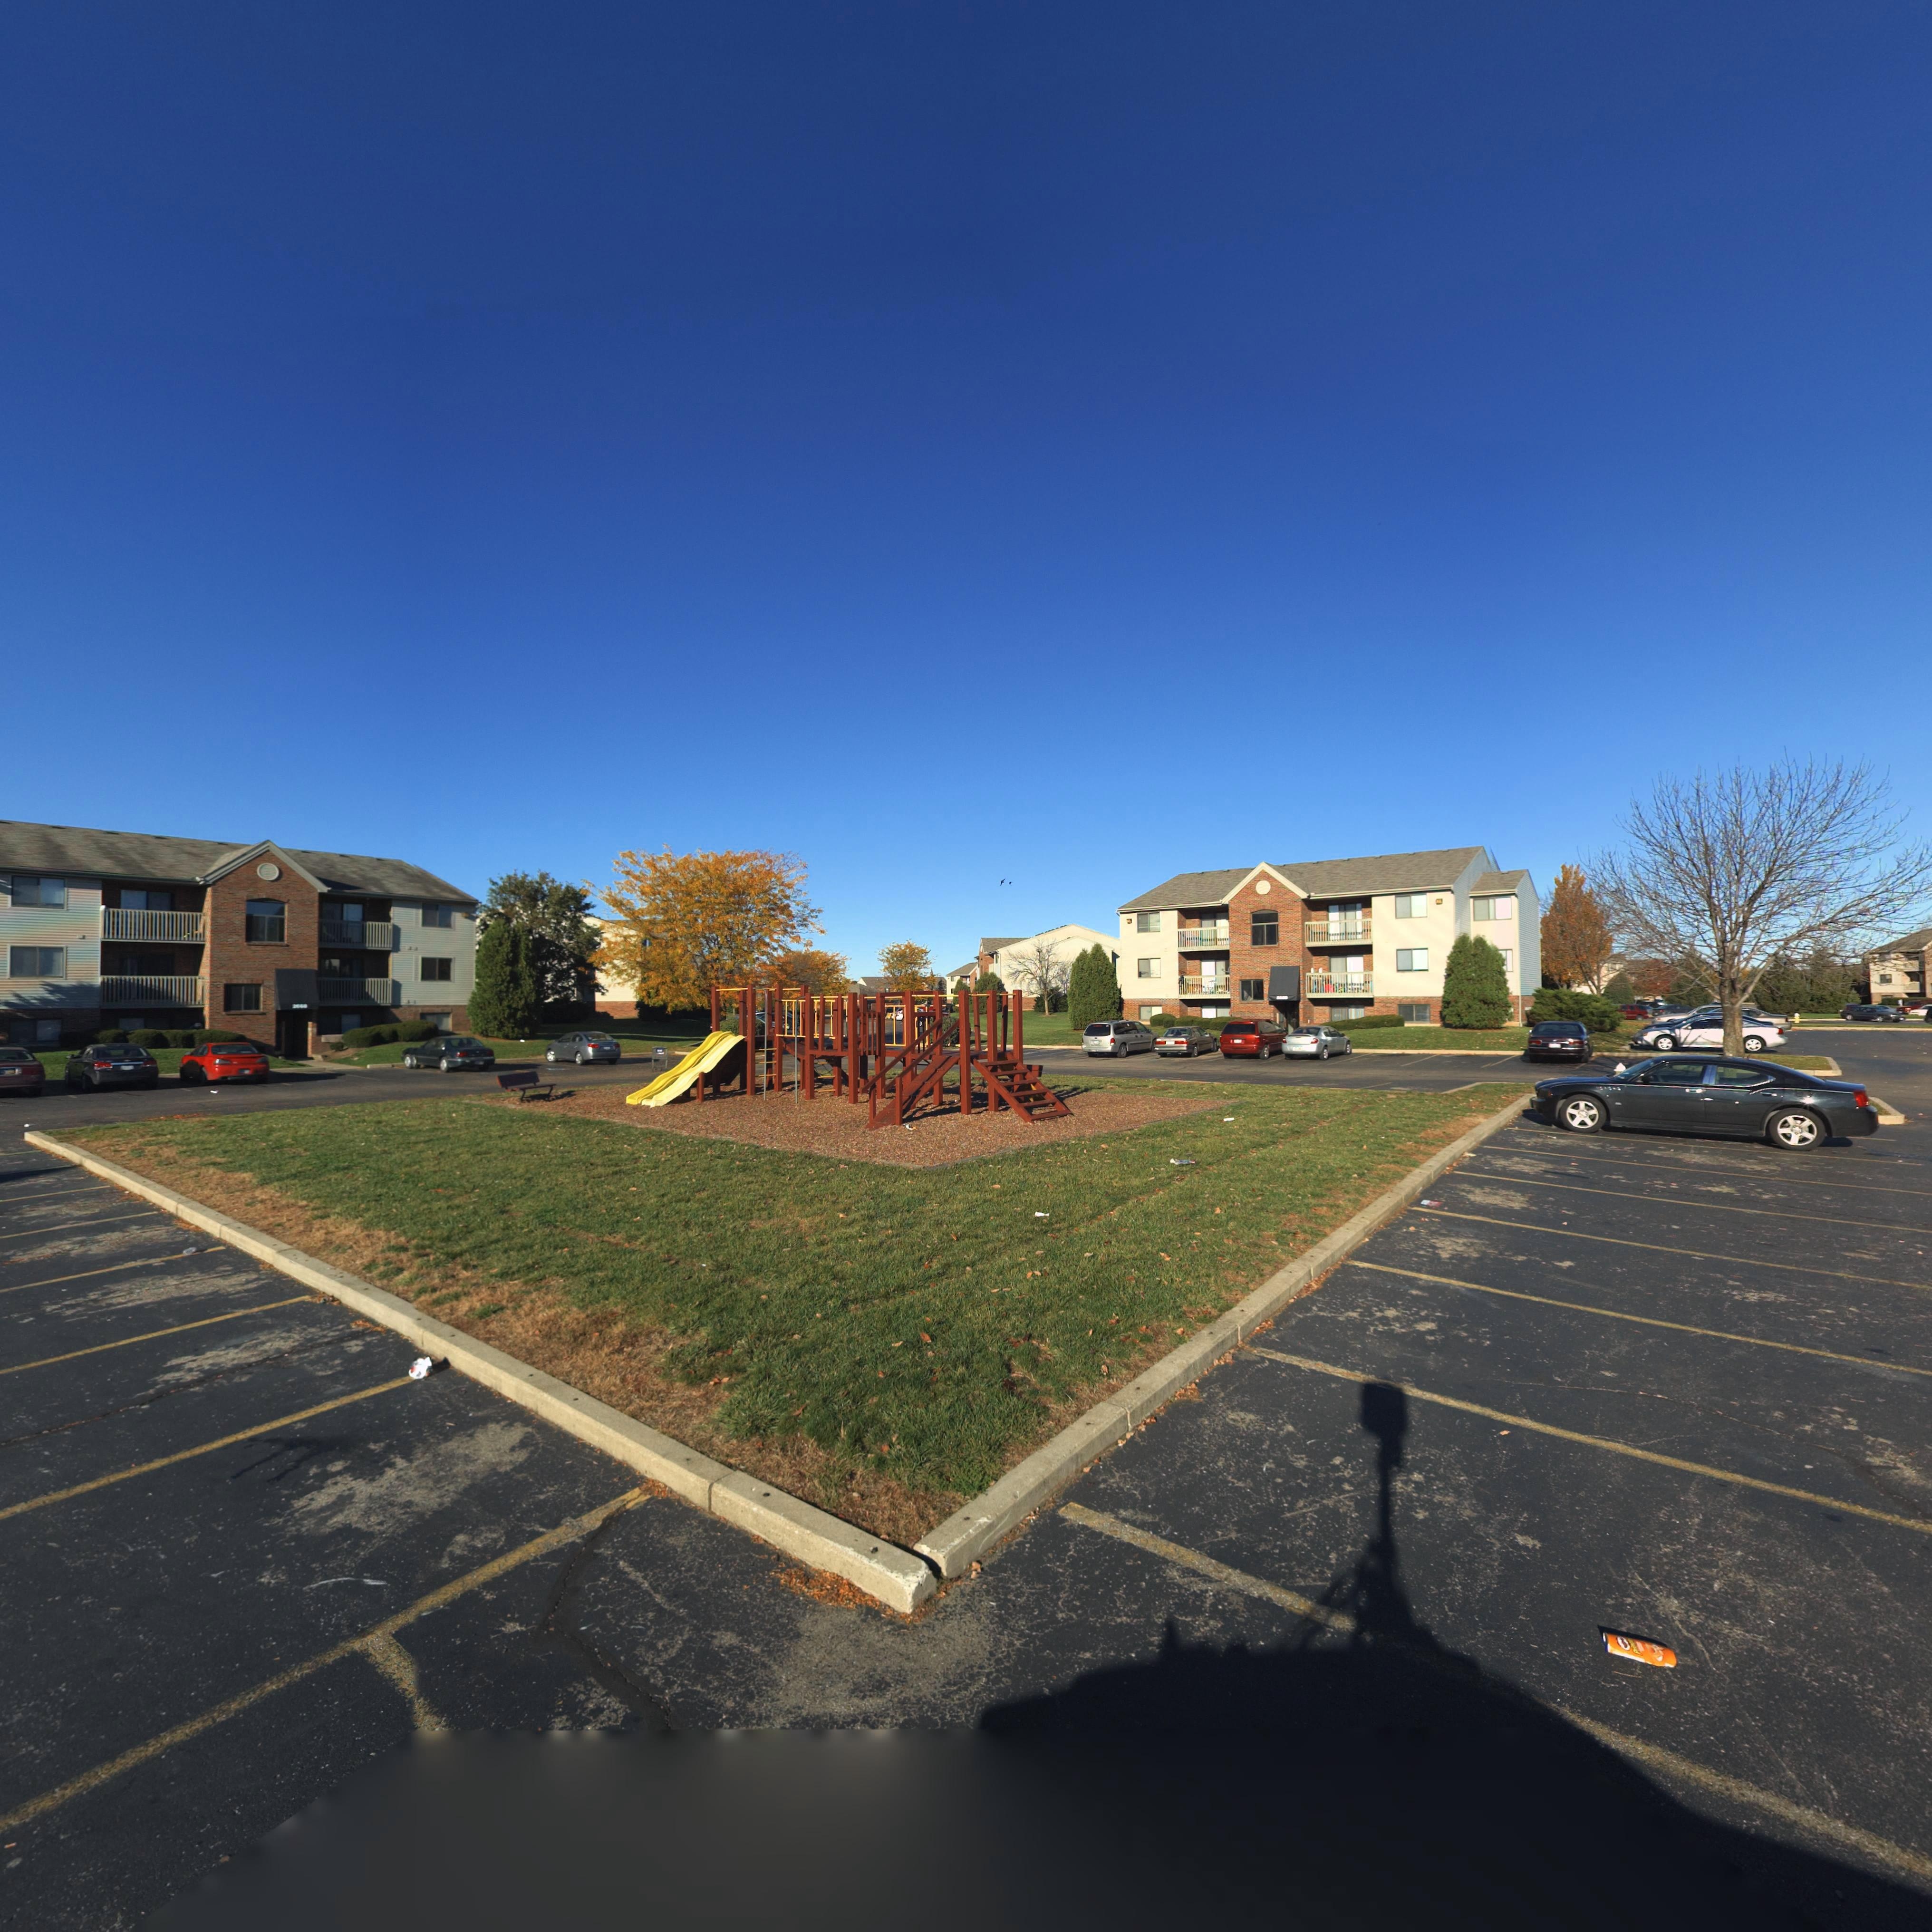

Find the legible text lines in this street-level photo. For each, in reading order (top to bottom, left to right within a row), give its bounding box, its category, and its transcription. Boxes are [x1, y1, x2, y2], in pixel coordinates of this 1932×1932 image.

[291, 1004, 309, 1009] StreetNumber: 2***